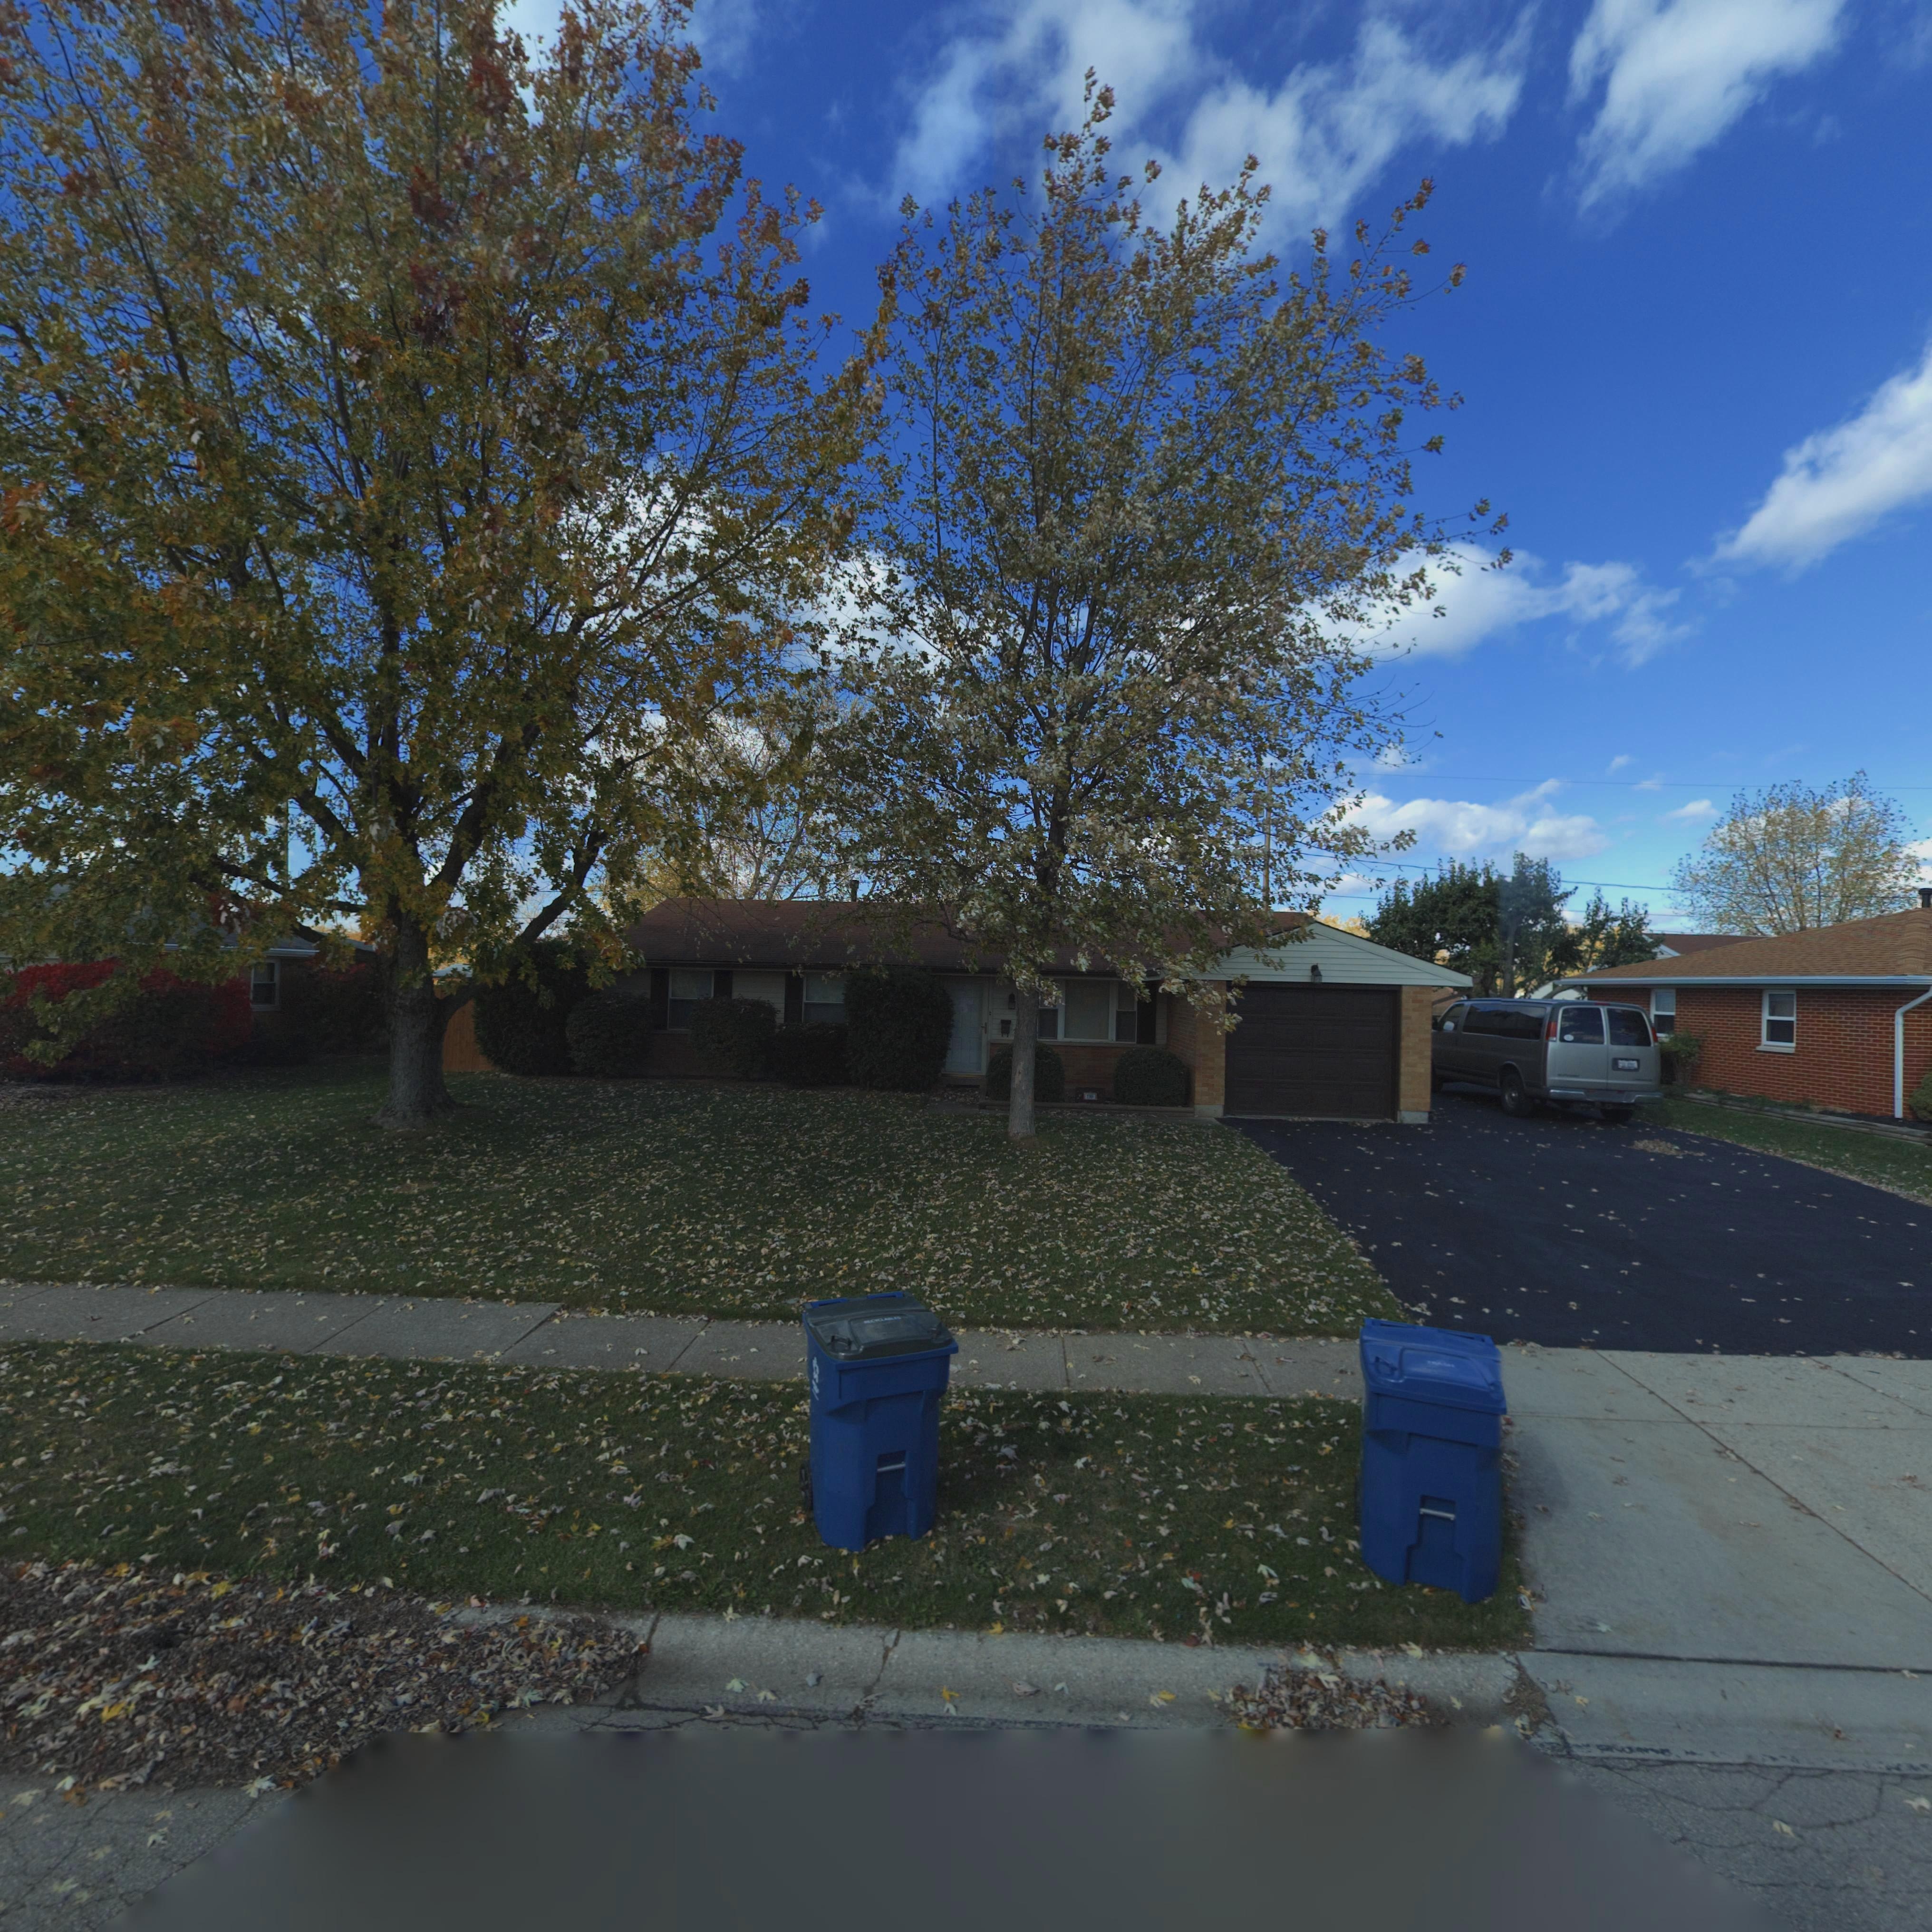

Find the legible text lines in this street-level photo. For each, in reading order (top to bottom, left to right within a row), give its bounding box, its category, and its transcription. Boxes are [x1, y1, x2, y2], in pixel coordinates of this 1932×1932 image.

[1086, 1094, 1094, 1099] StreetNumber: 7701